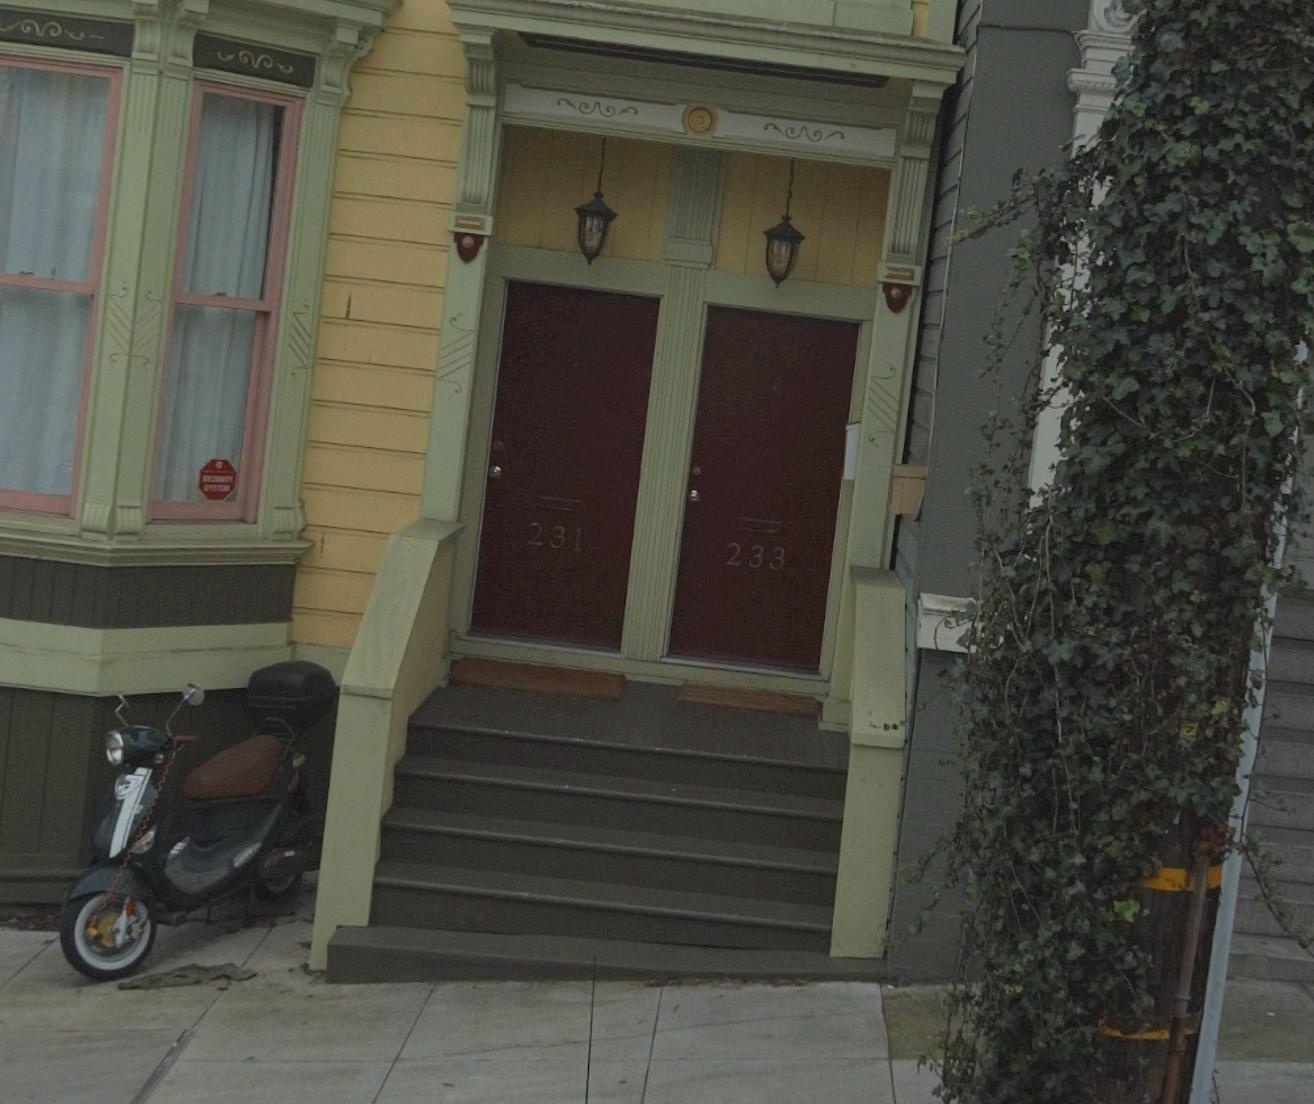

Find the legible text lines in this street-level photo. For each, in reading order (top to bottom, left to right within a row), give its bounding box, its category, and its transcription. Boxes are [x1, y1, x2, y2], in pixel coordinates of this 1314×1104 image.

[525, 520, 583, 554] StreetNumber: 231
[723, 540, 787, 571] StreetNumber: 233